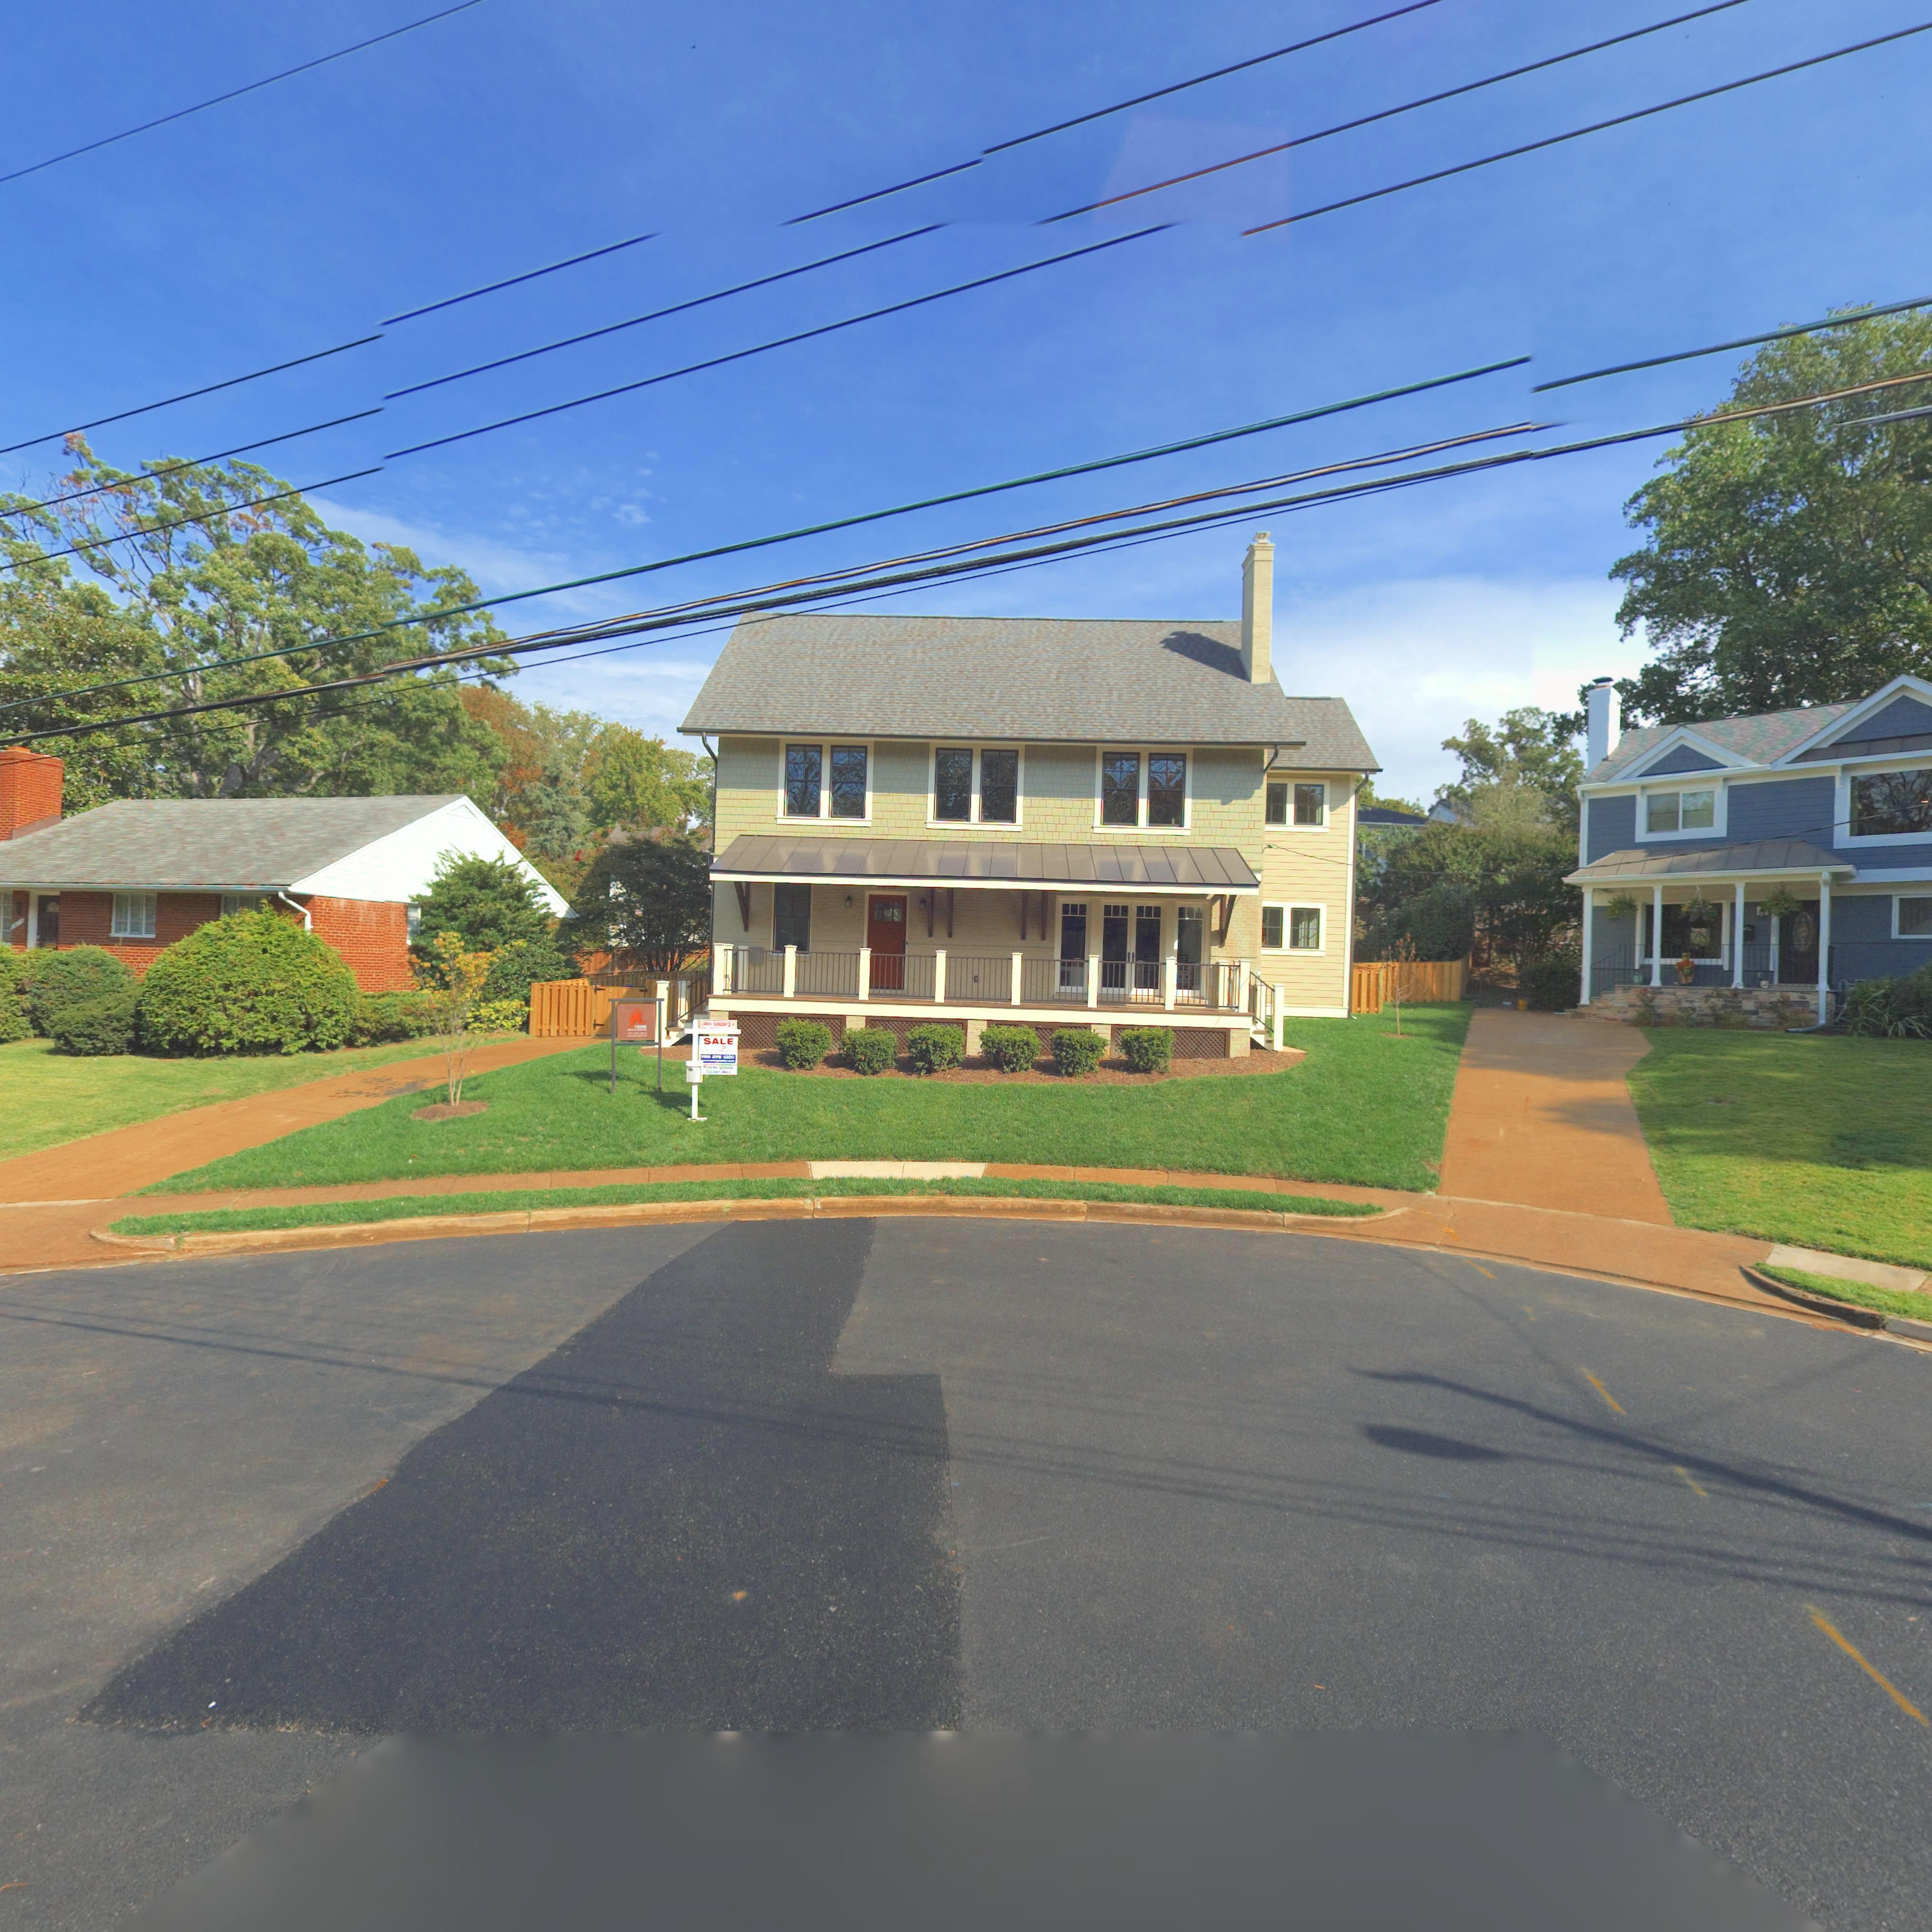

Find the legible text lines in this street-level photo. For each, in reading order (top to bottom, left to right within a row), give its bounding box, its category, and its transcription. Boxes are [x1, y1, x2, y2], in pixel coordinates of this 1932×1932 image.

[703, 1037, 734, 1045] None: SALE